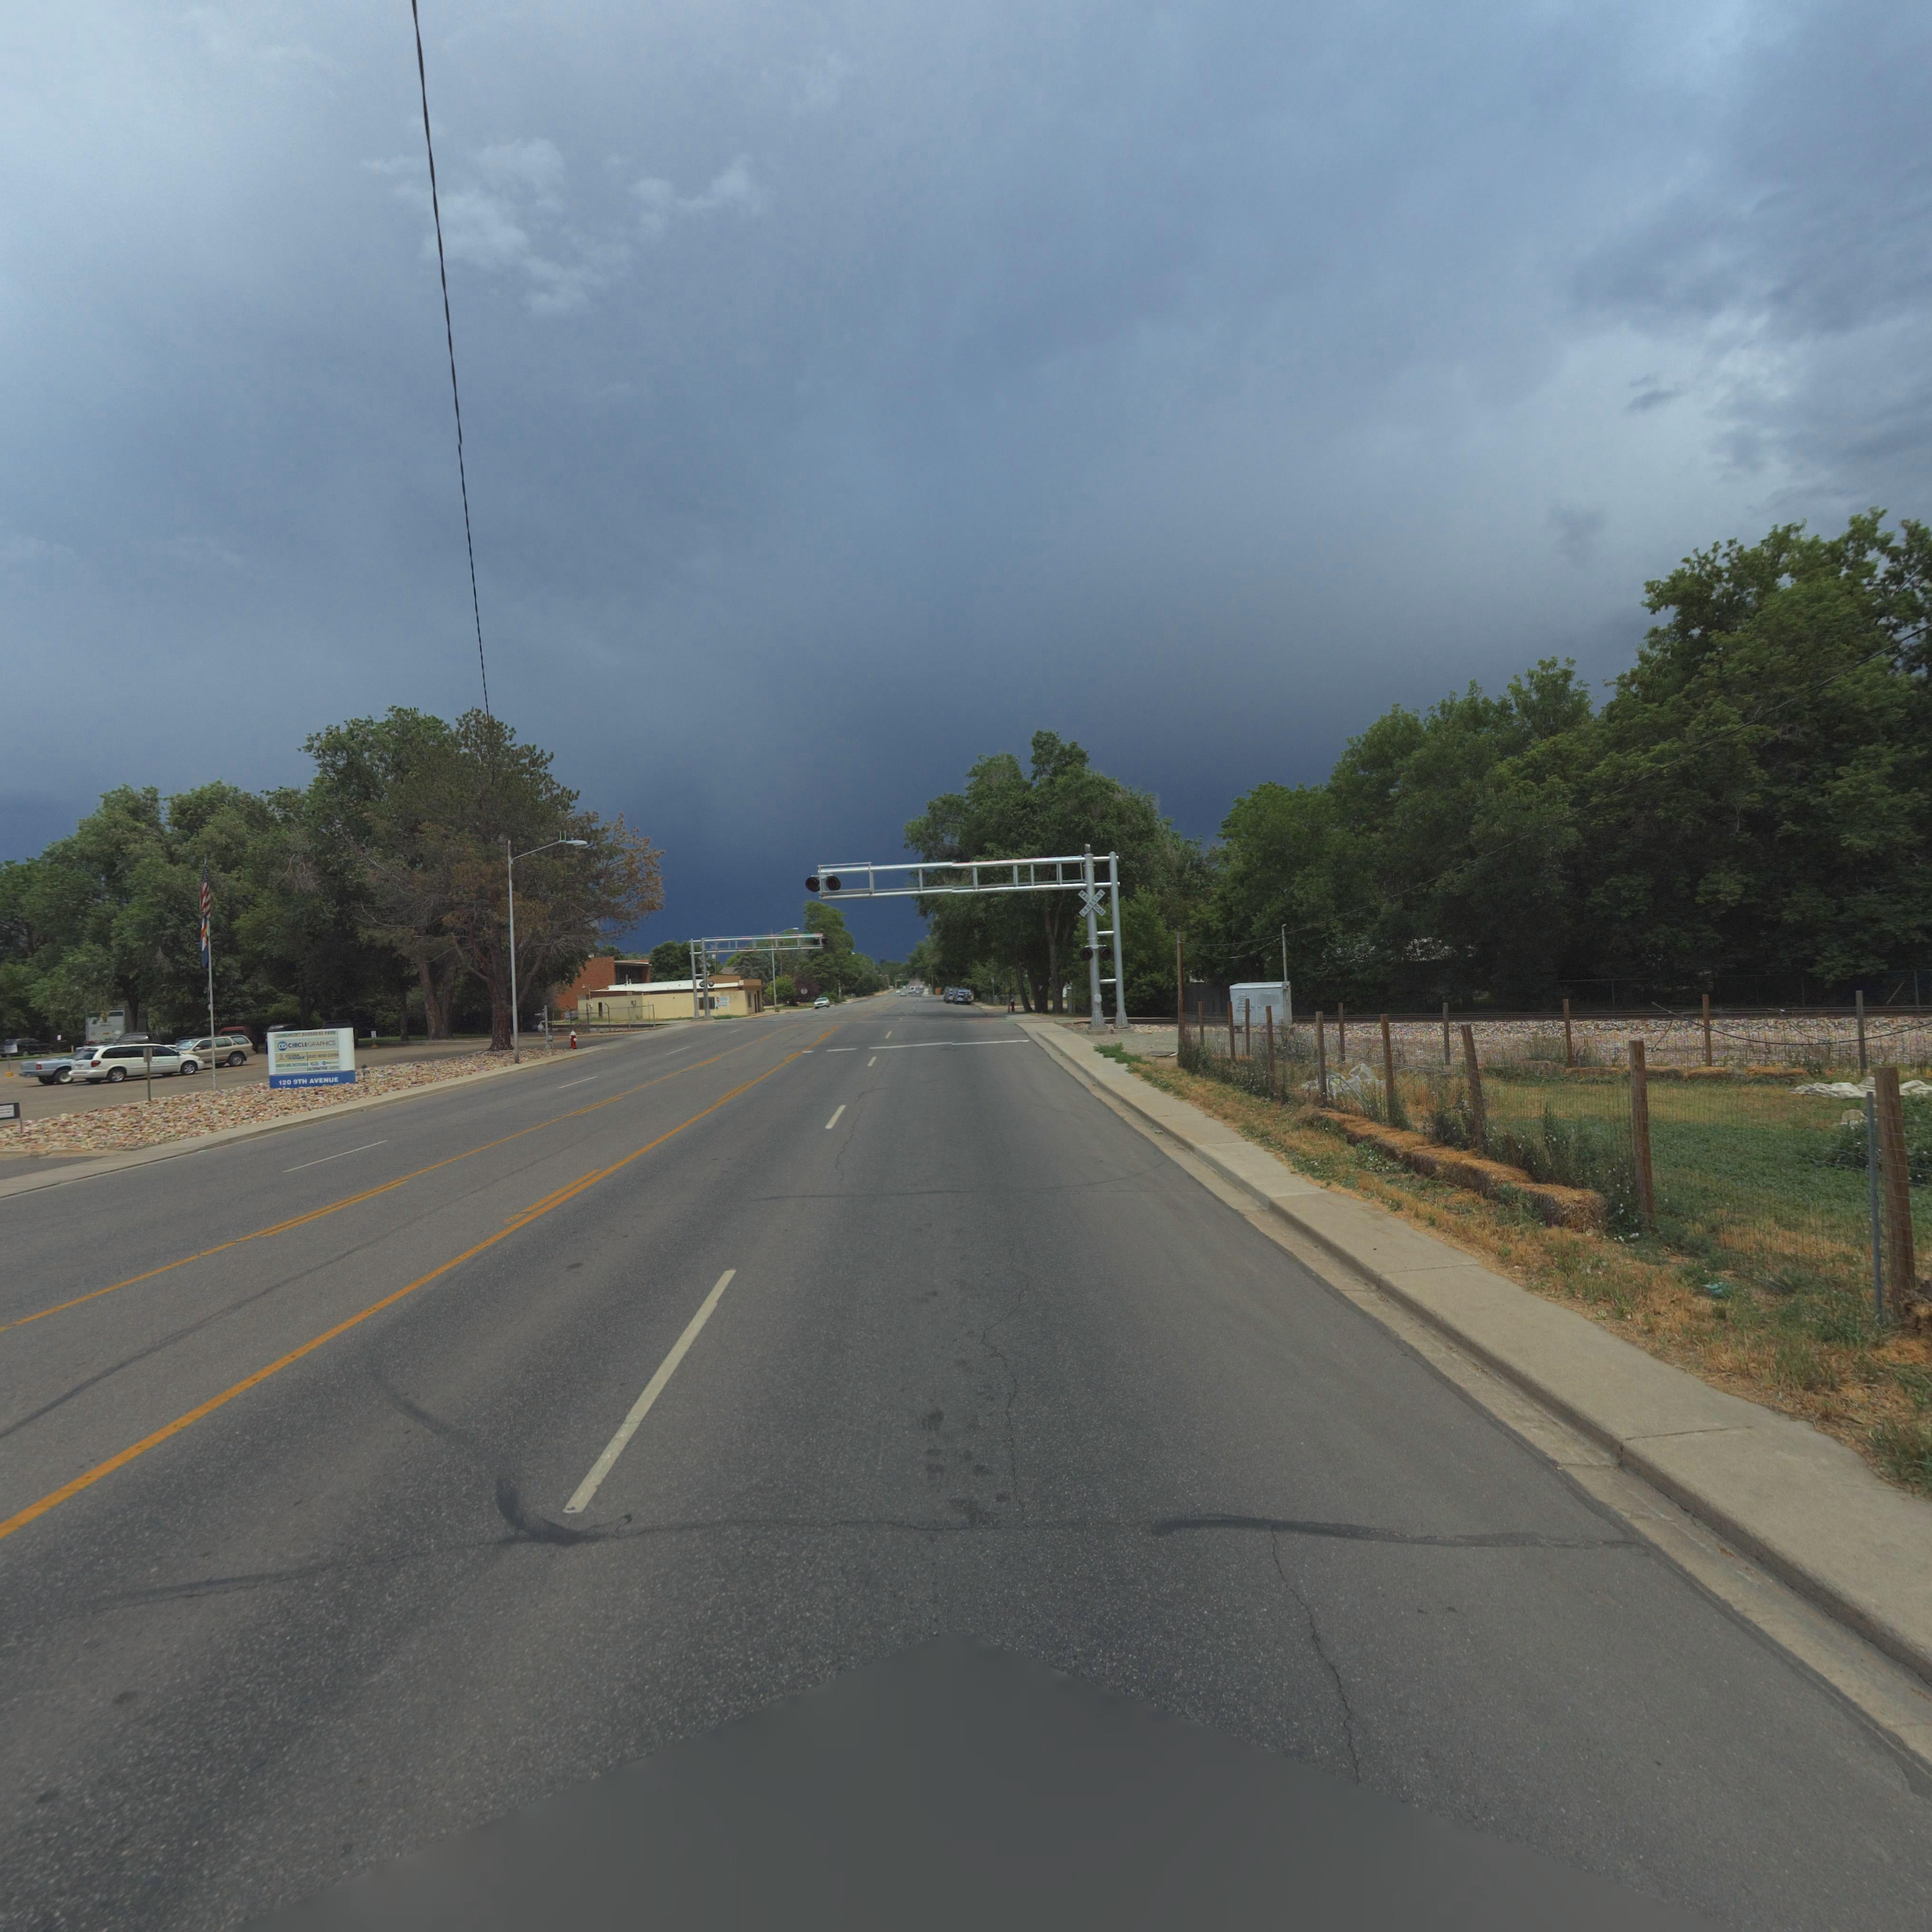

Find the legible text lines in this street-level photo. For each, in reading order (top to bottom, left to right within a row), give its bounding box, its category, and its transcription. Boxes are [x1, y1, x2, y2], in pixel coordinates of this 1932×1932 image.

[275, 1030, 336, 1038] BusinessName: LONGM**T BUSI**** *****
[288, 1040, 335, 1048] BusinessName: CIRCLEGRA*HICS
[278, 1079, 291, 1085] StreetNumber: 120
[293, 1076, 338, 1084] StreetName: 9TH AVENUE